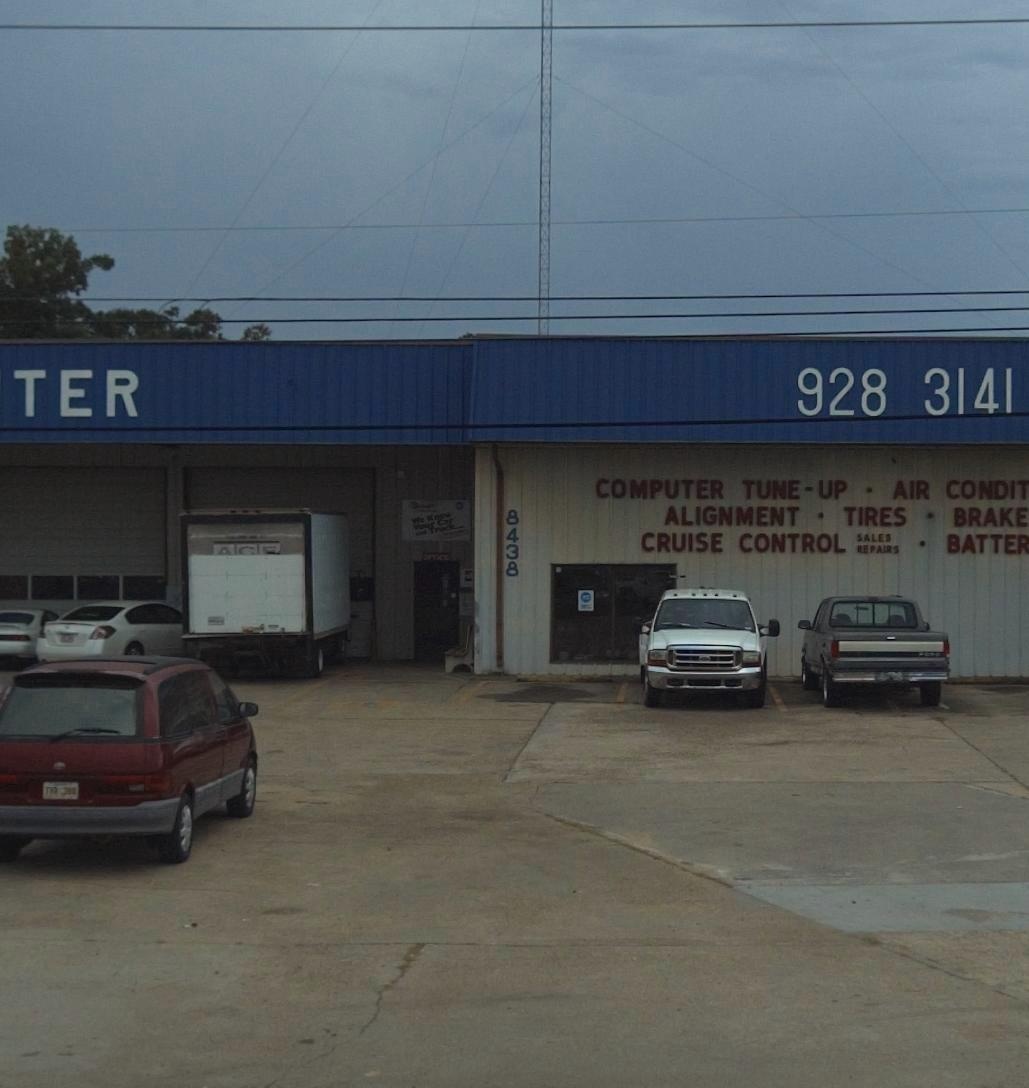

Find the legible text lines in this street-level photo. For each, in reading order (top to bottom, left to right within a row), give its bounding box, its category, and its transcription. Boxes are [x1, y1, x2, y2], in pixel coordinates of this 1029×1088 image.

[10, 368, 141, 420] BusinessName: TER
[796, 365, 1013, 418] None: 928 3141
[594, 476, 1018, 500] None: COMPUTER TUNE-UP * AIR CONDI
[409, 510, 452, 526] None: We Know
[427, 521, 459, 536] None: Truck
[504, 508, 520, 578] StreetNumber: 8438
[640, 530, 847, 554] None: CRUISE CONTROL
[662, 504, 1028, 528] None: ALIGNMENT * TIRES * BRAKE
[855, 530, 894, 543] None: SALES
[855, 543, 901, 556] None: REPAIRS
[945, 531, 1018, 556] None: BATTE